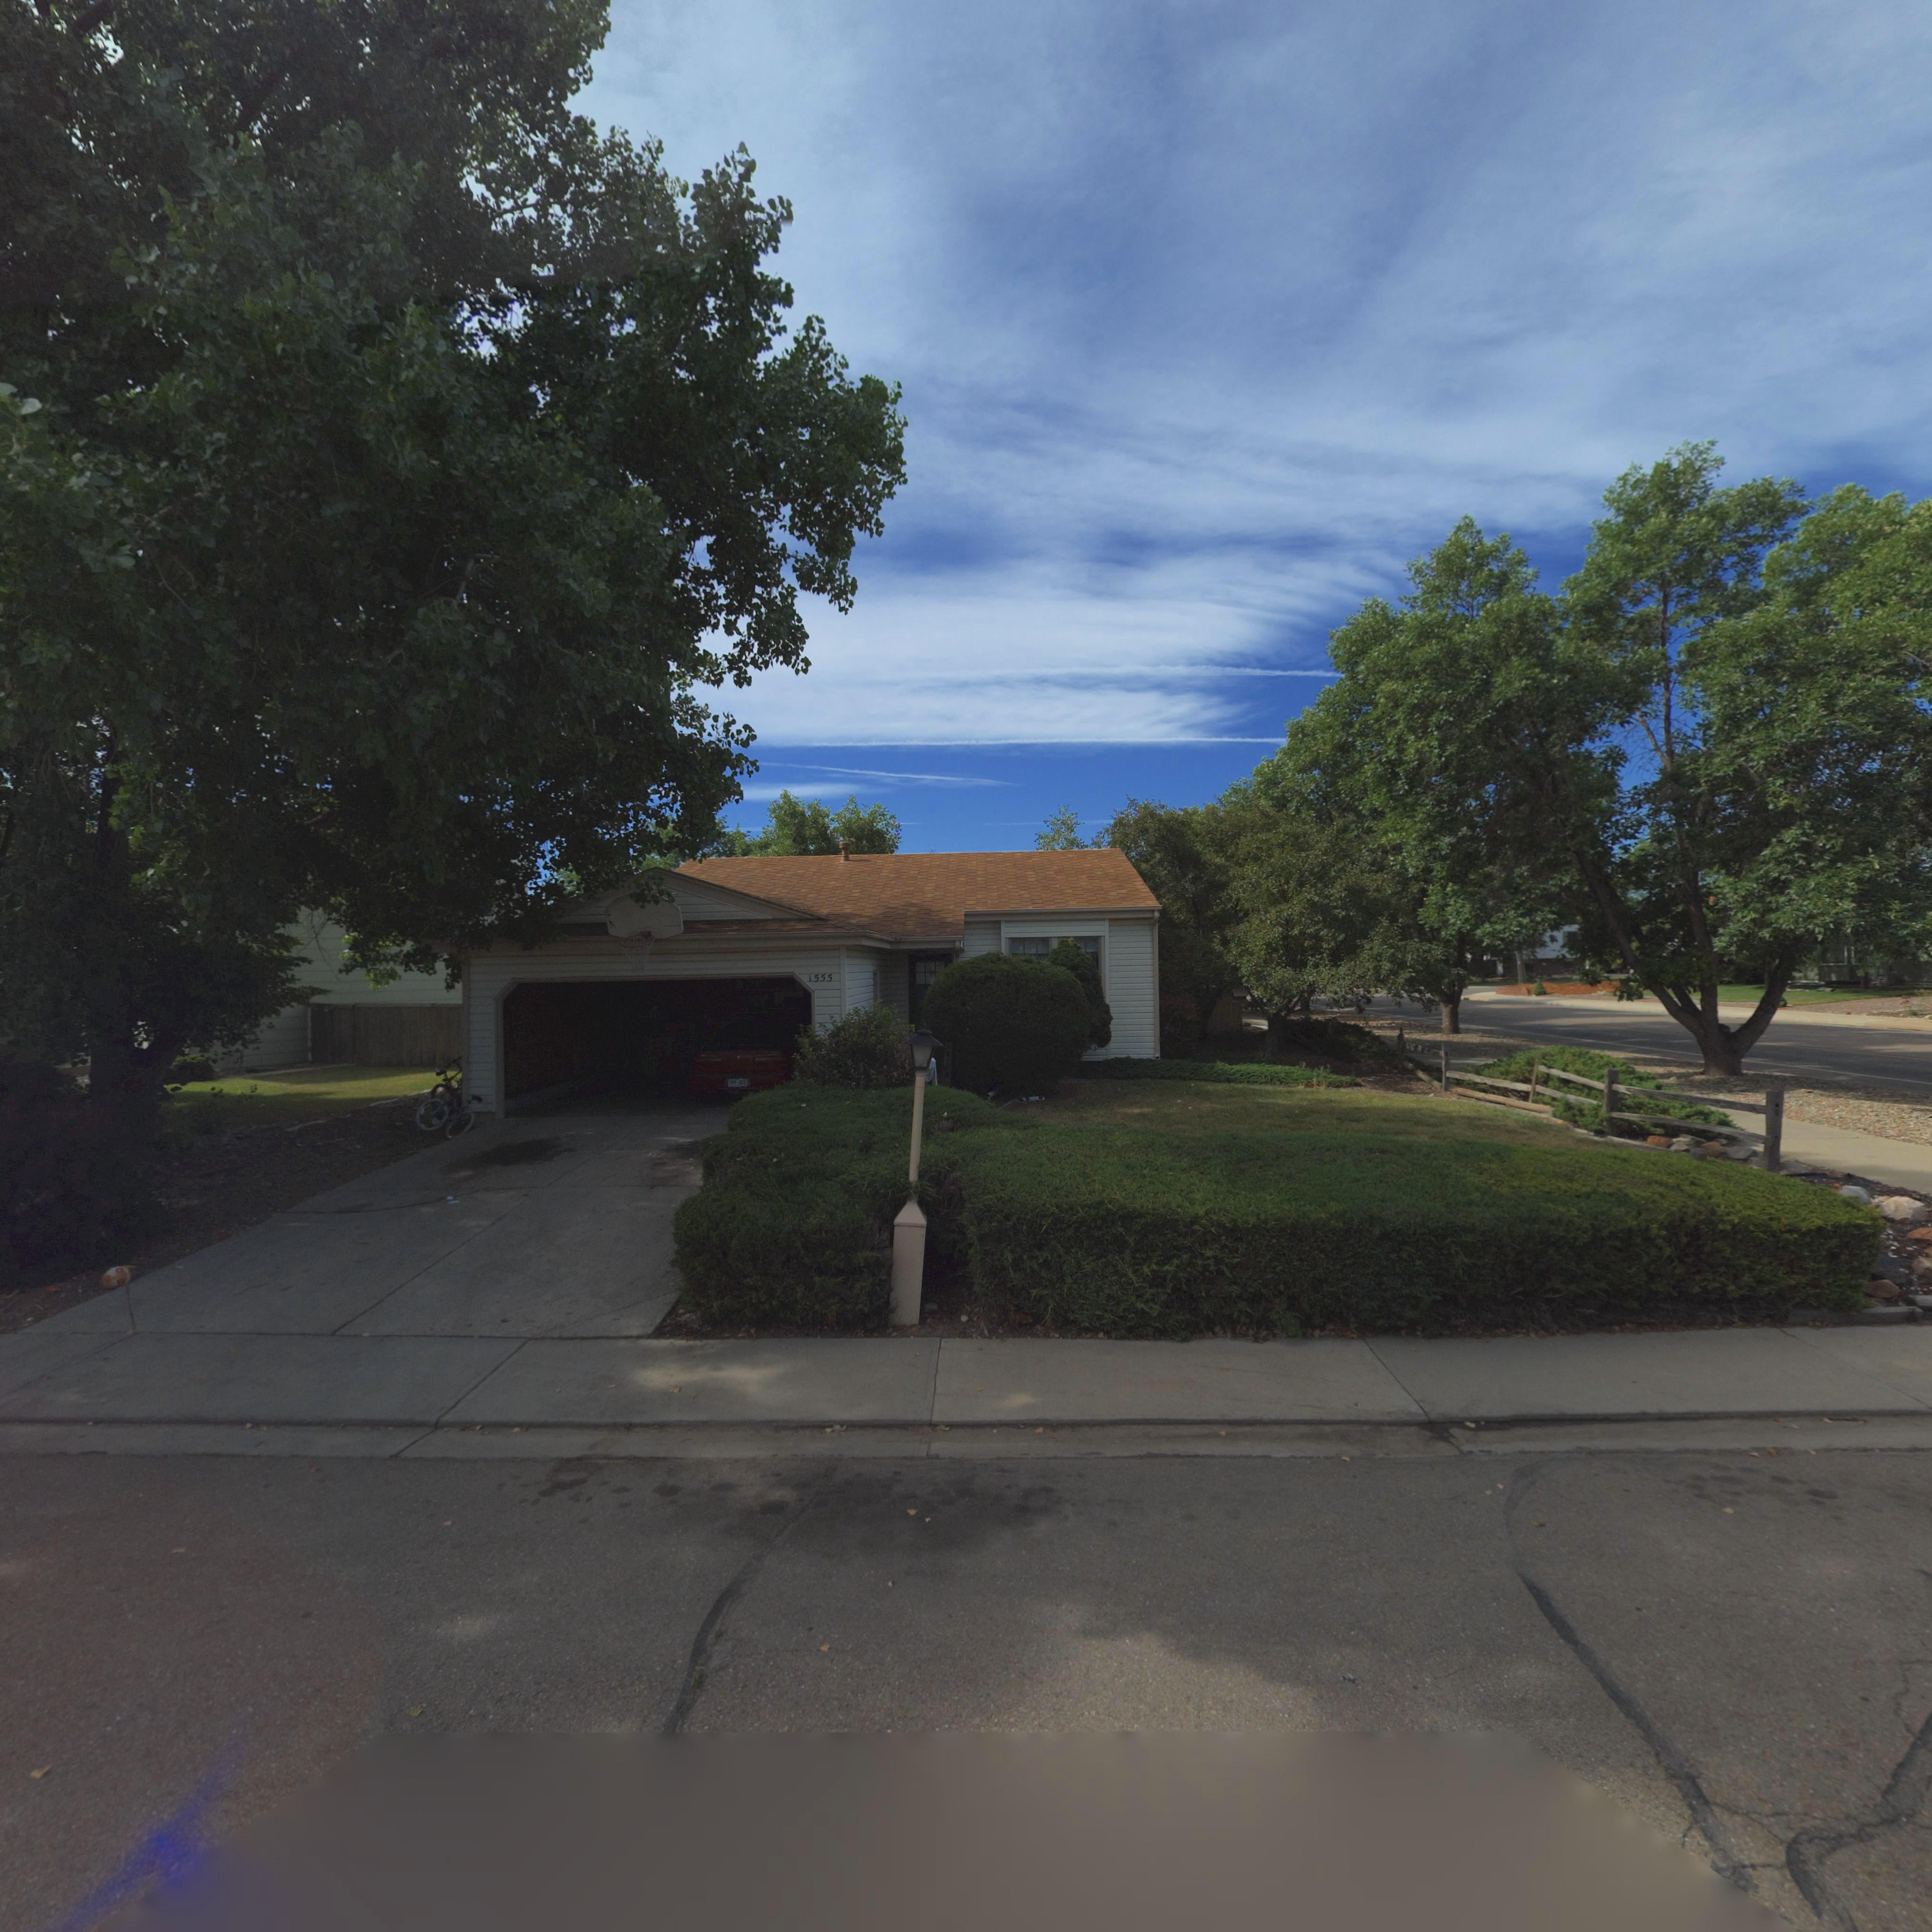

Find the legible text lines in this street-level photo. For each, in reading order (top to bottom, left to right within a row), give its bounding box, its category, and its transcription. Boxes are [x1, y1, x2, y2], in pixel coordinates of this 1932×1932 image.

[808, 973, 833, 982] StreetNumber: 1555